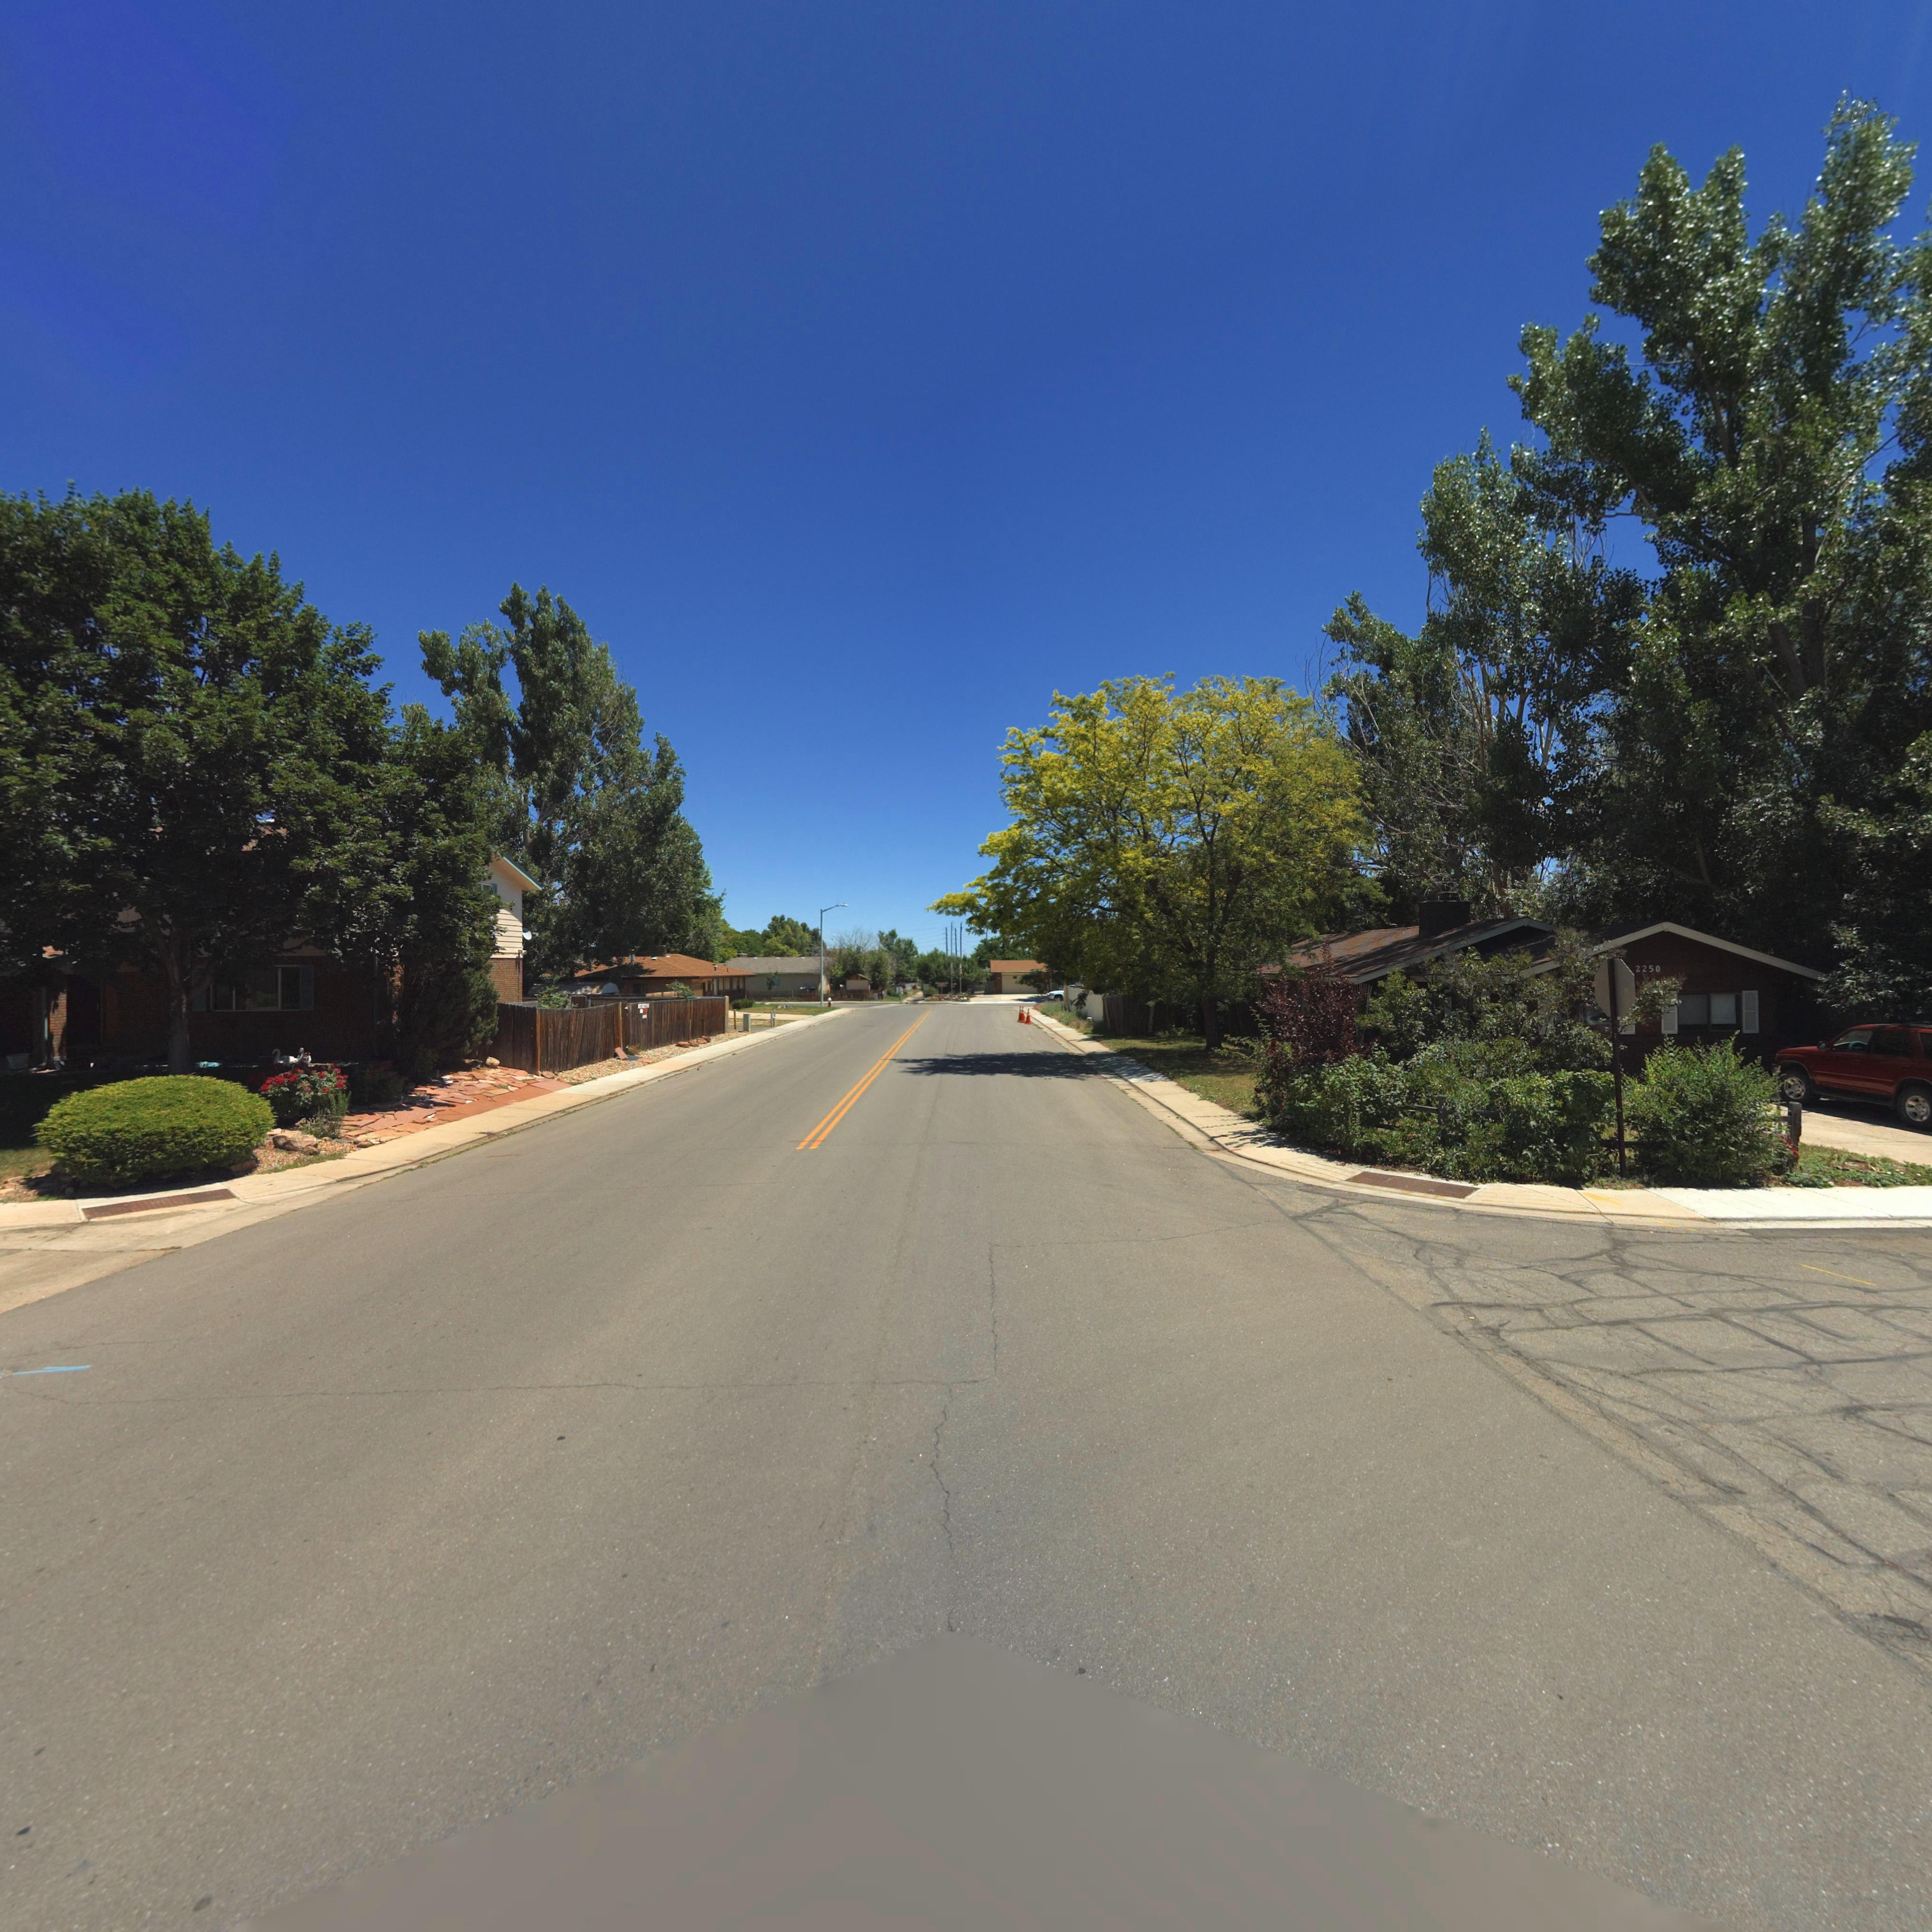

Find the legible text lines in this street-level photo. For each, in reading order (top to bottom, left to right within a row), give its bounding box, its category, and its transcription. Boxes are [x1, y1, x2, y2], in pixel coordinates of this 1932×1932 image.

[1634, 965, 1661, 973] StreetNumber: 2250